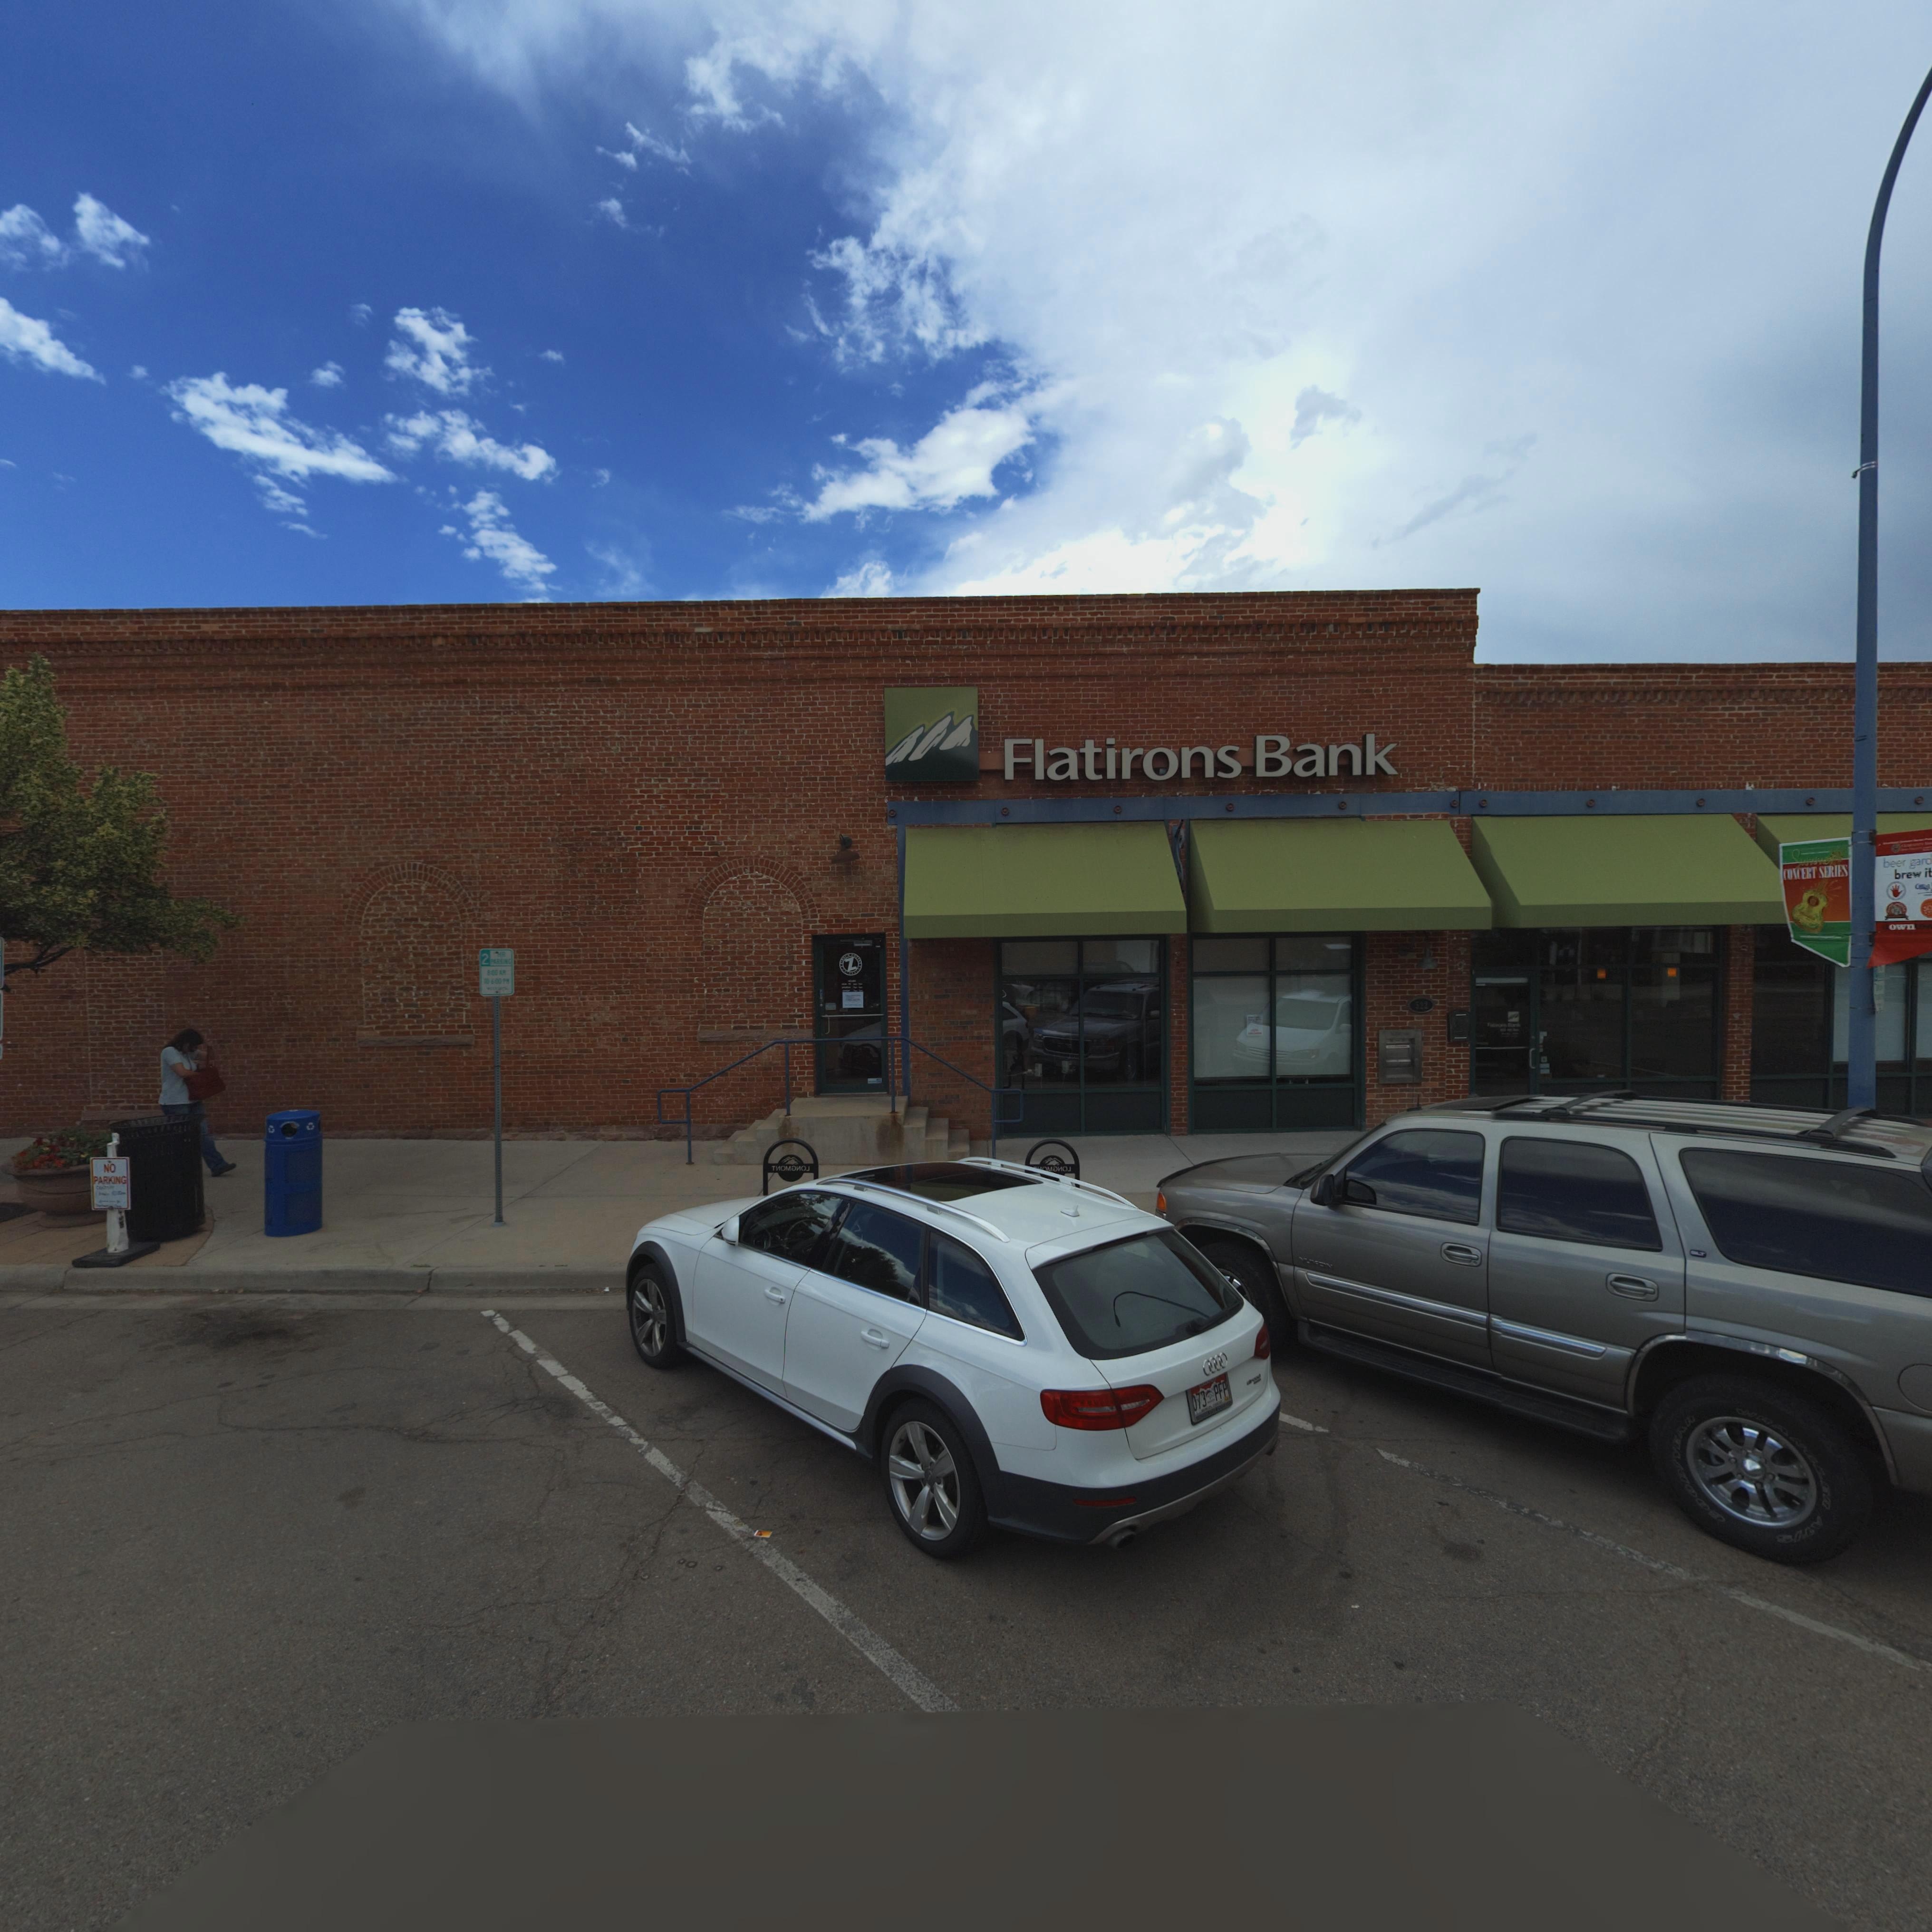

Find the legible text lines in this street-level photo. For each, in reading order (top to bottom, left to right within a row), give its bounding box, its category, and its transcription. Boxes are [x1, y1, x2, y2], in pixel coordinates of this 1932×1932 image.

[1002, 733, 1398, 782] BusinessName: Flatirons Bank
[1415, 1001, 1429, 1010] StreetNumber: 522
[1487, 1023, 1521, 1027] BusinessName: F*******s B**k